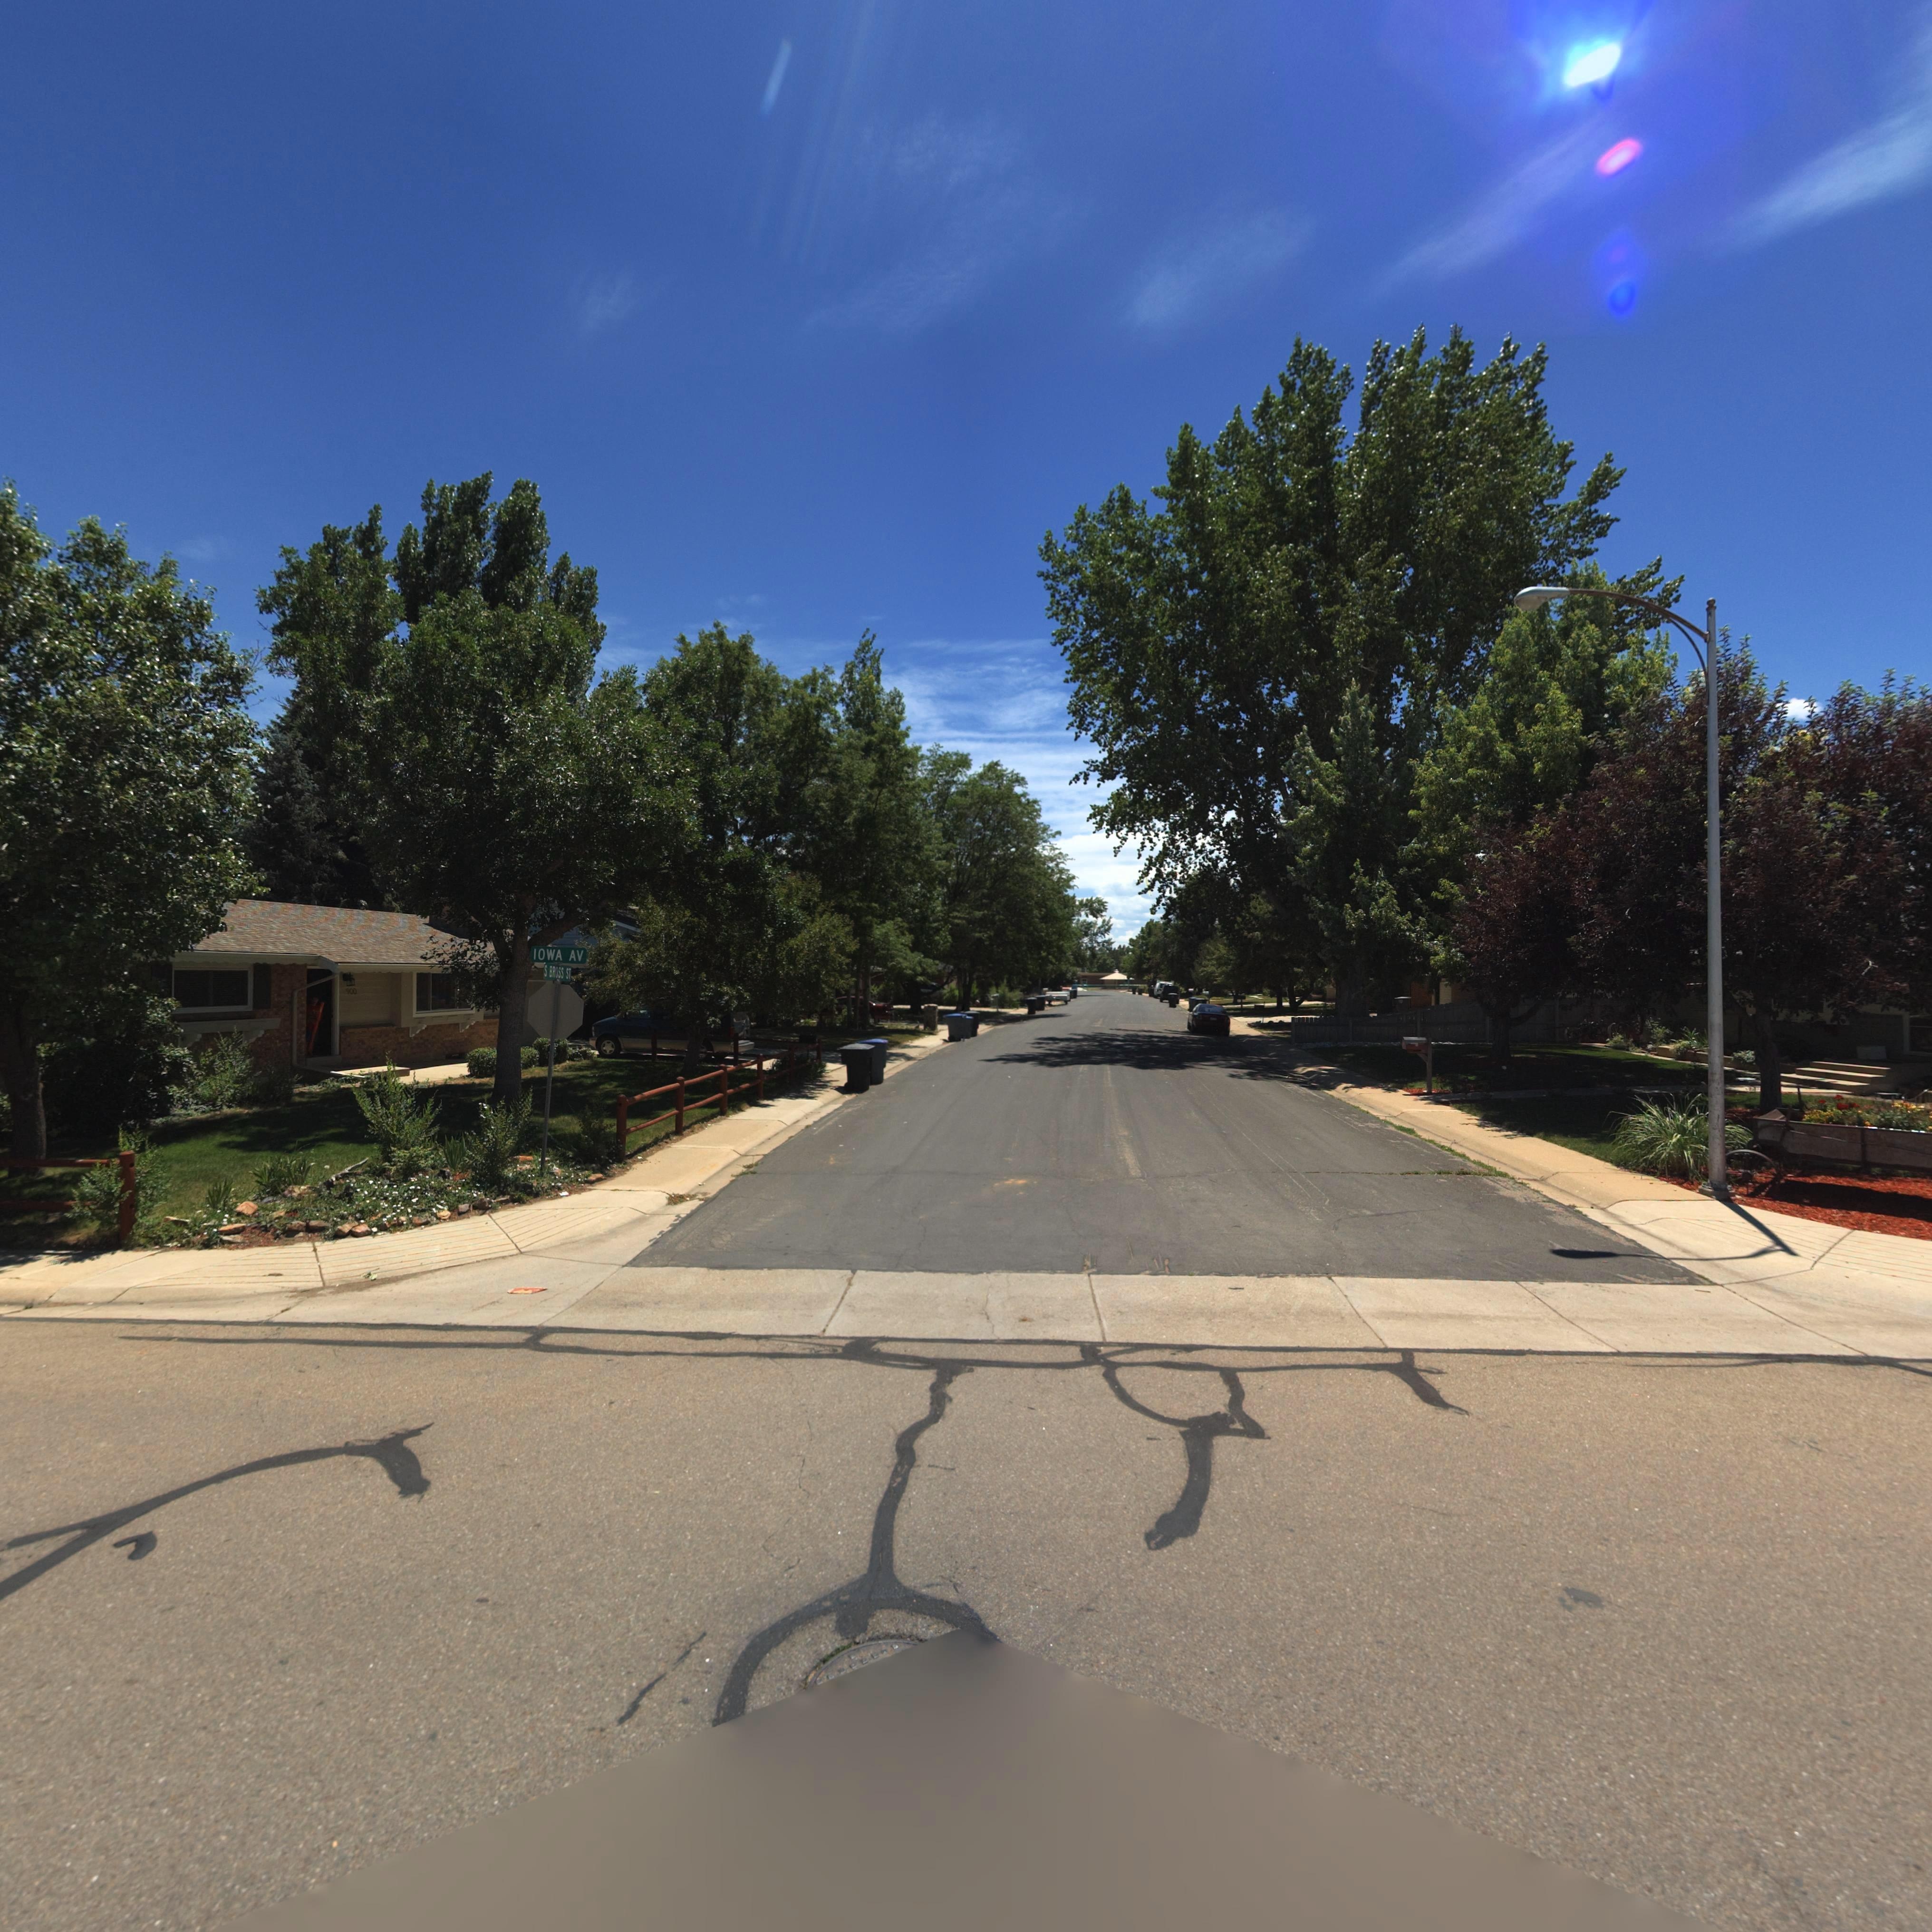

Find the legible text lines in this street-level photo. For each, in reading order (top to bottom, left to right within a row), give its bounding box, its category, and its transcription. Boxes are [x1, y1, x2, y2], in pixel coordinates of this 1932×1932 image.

[533, 948, 584, 962] StreetName: IOWA ST
[543, 965, 571, 979] StreetName: S BROSS ST
[345, 987, 357, 995] StreetNumber: 900